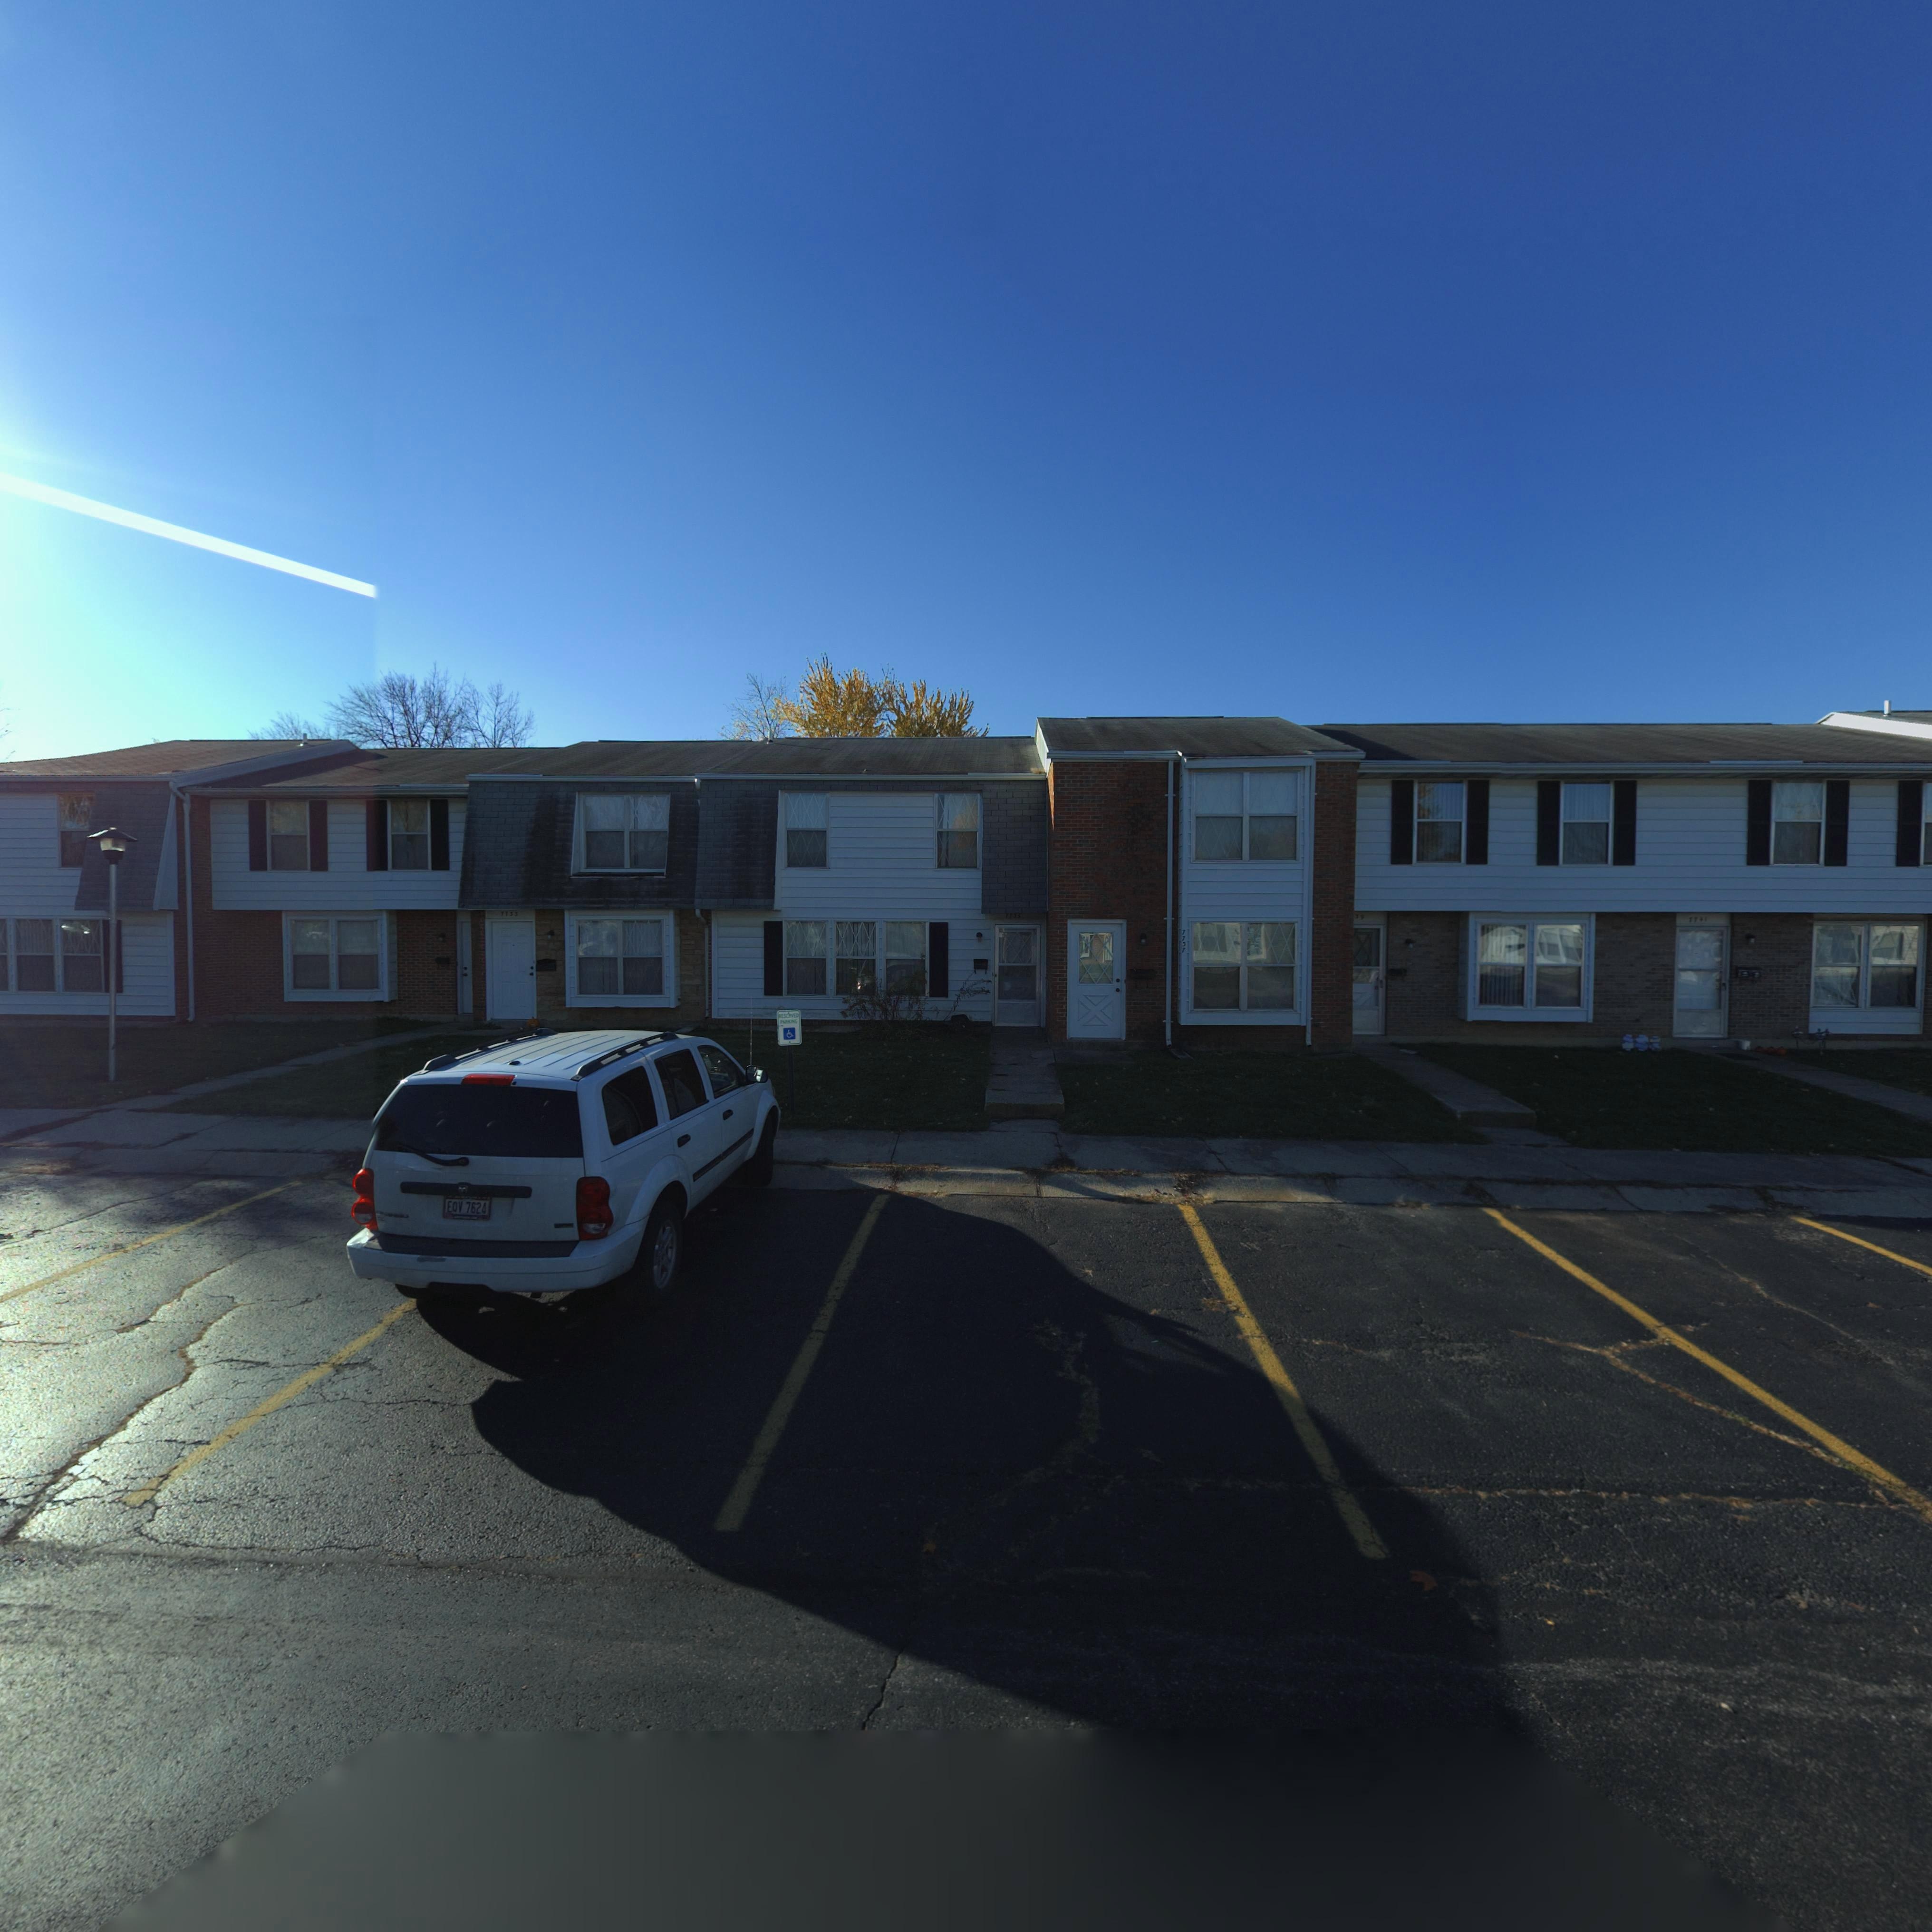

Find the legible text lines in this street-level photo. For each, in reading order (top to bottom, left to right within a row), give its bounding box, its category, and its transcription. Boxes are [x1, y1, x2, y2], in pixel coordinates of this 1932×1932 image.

[500, 911, 519, 917] StreetNumber: 7733
[1004, 913, 1021, 919] StreetNumber: 7735
[1354, 913, 1365, 920] StreetNumber: 39
[1688, 916, 1708, 923] StreetNumber: 7741
[1181, 929, 1186, 953] StreetNumber: 7737